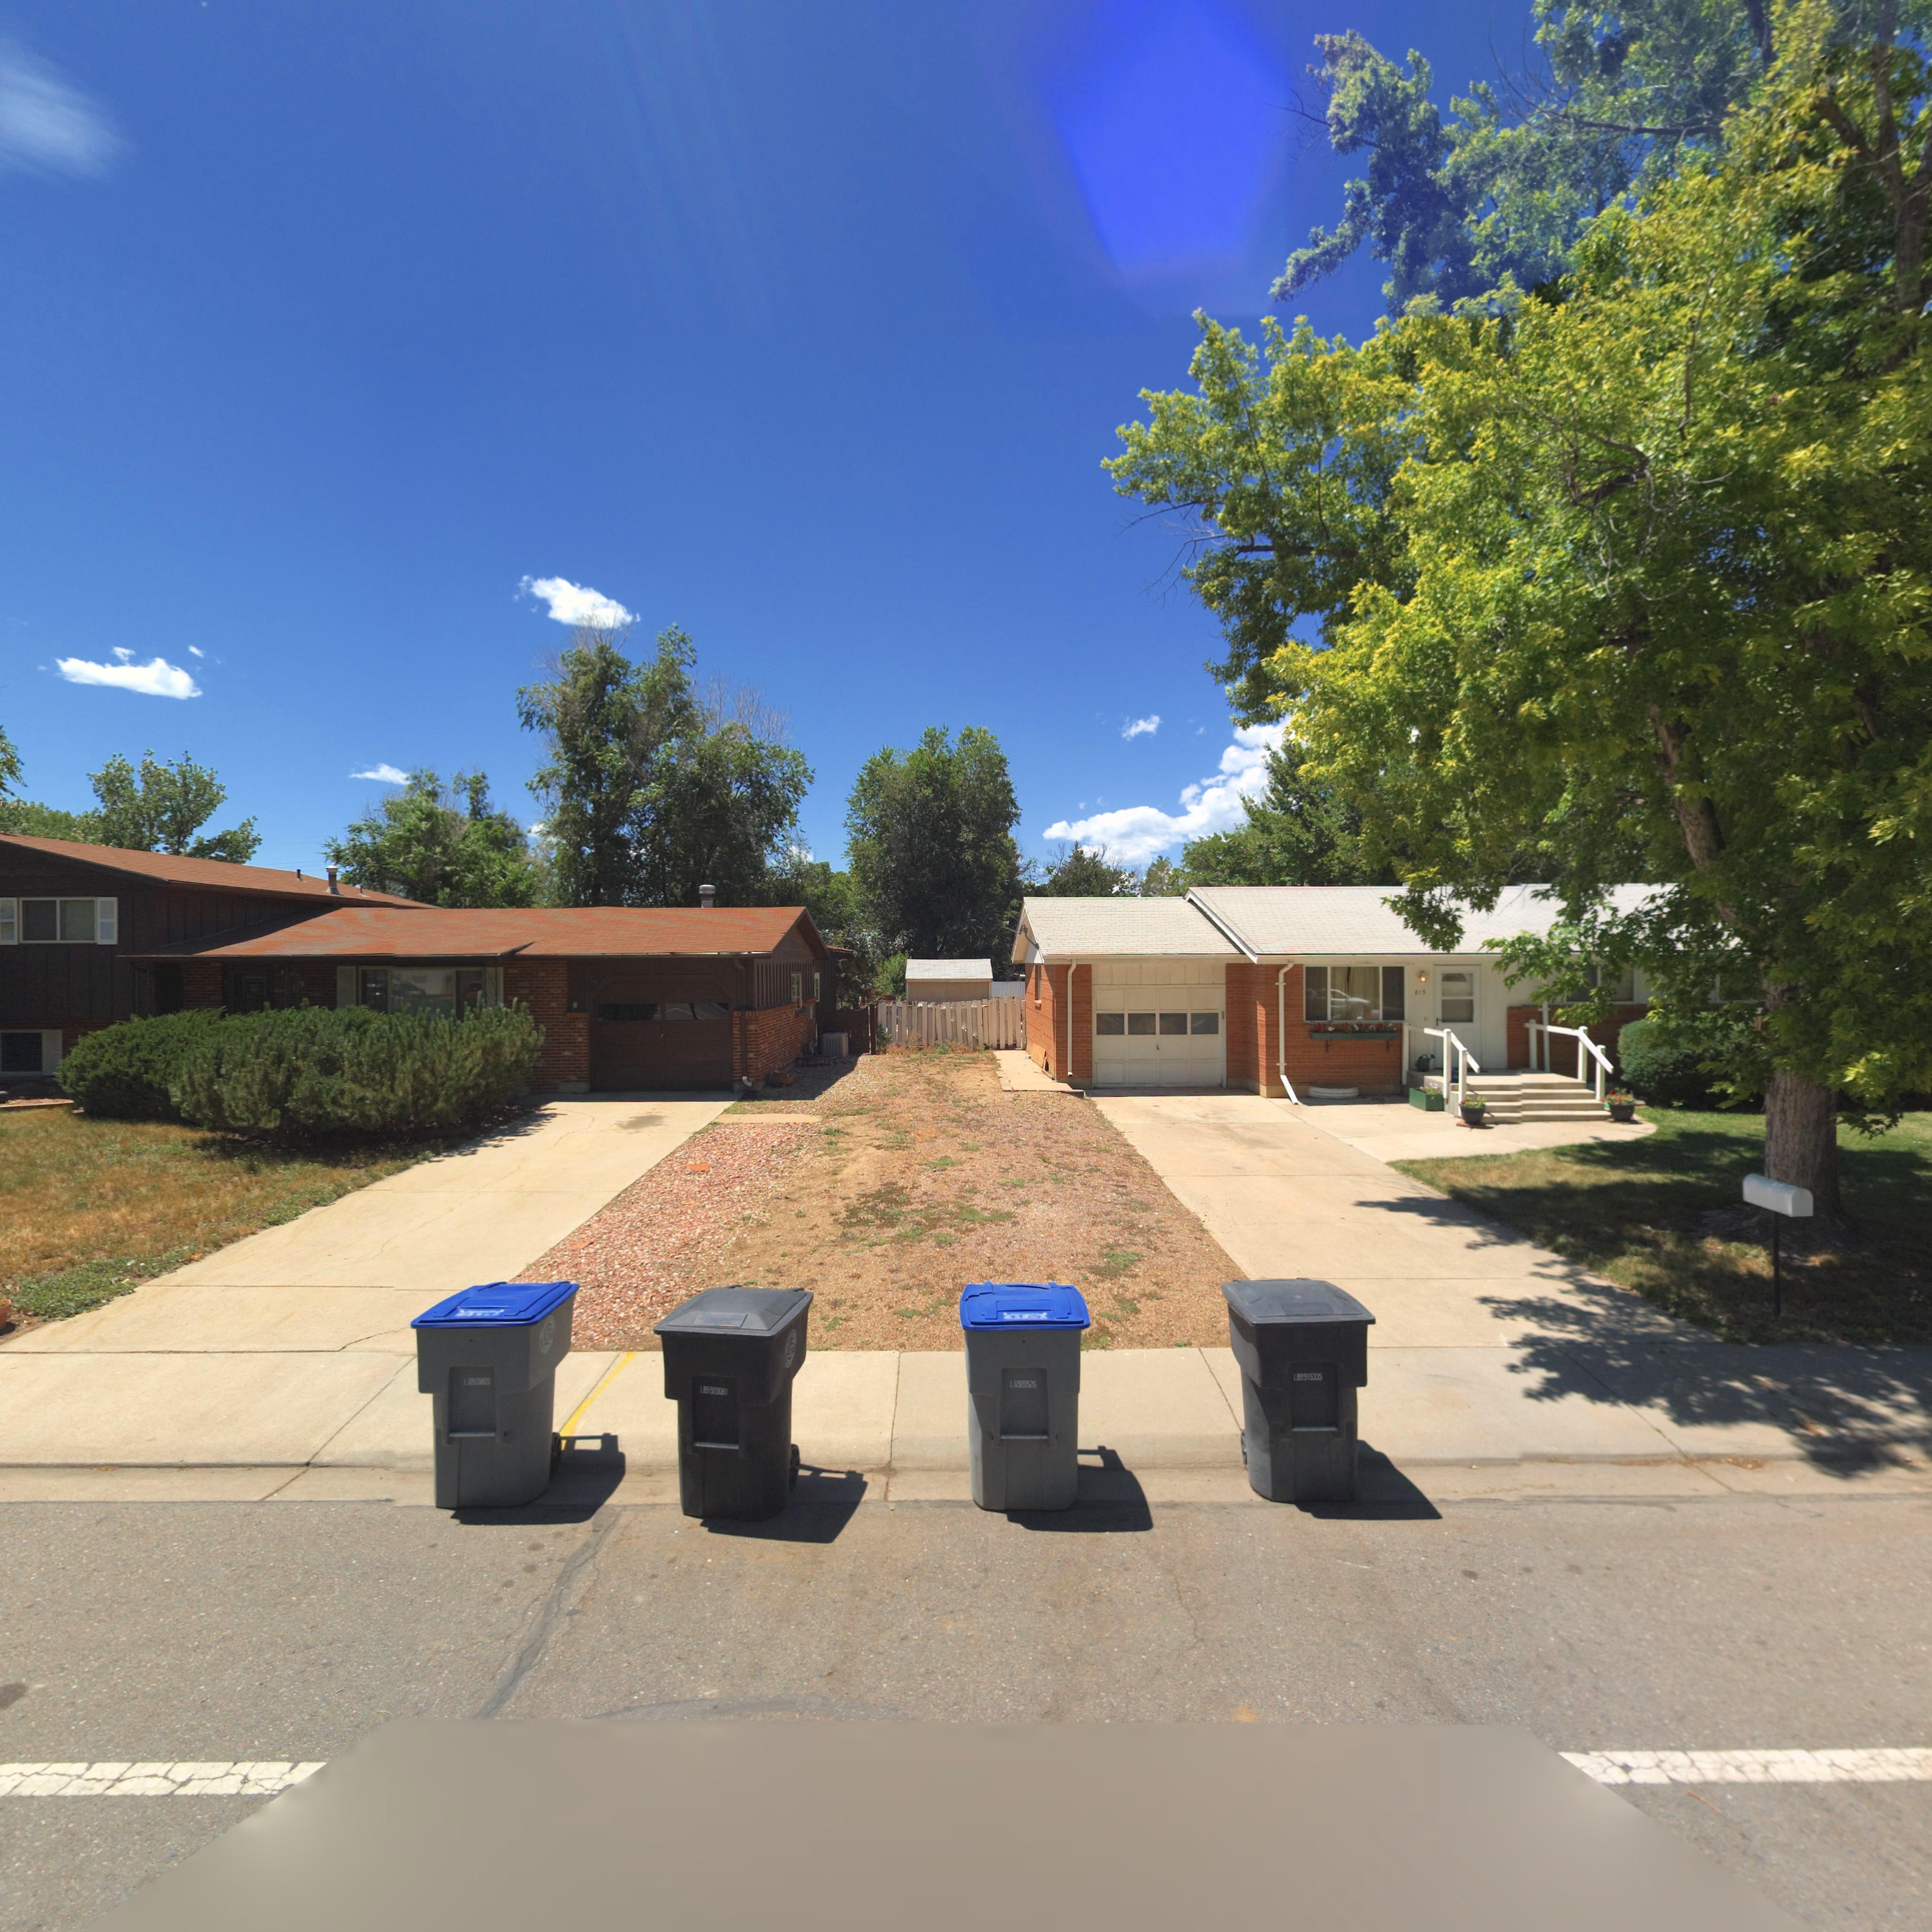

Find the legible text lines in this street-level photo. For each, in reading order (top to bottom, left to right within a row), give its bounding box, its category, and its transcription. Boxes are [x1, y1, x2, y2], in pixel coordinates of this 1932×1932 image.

[292, 979, 305, 993] StreetNumber: 19
[1414, 989, 1426, 995] StreetNumber: 815